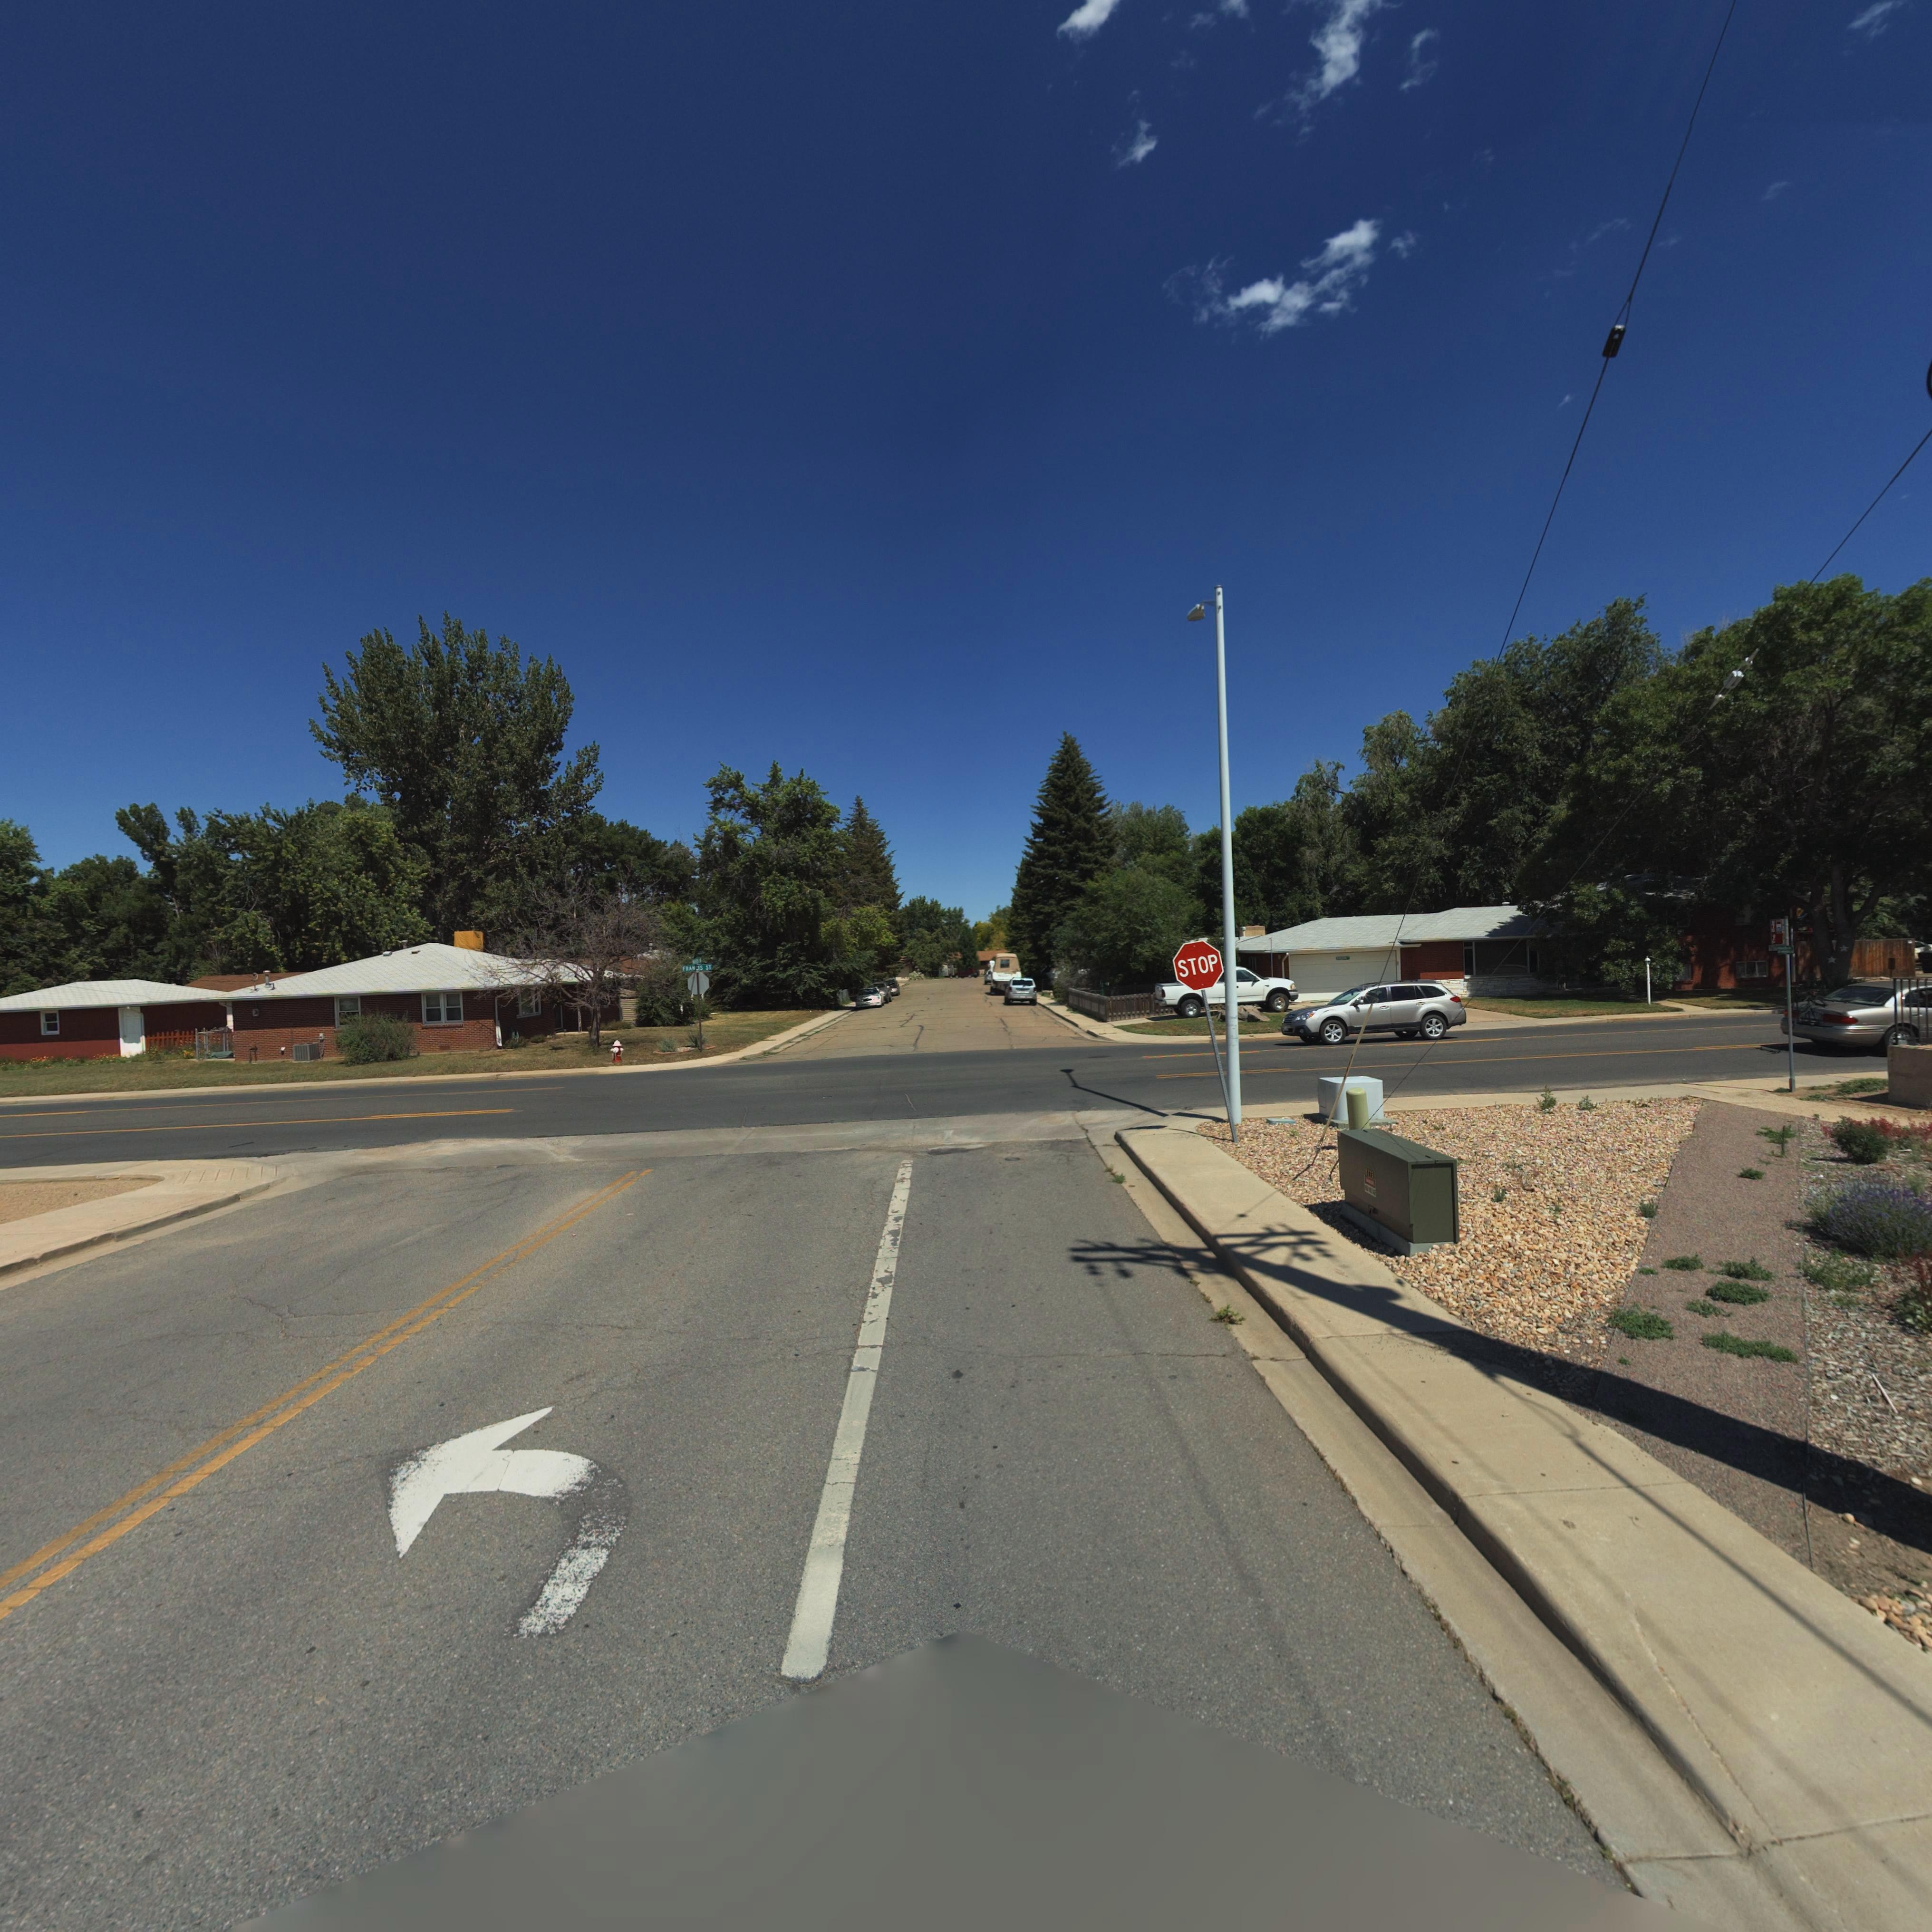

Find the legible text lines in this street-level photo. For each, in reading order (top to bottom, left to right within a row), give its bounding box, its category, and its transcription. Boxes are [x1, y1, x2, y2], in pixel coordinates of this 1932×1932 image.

[683, 965, 711, 971] StreetName: FRAN*IS S*